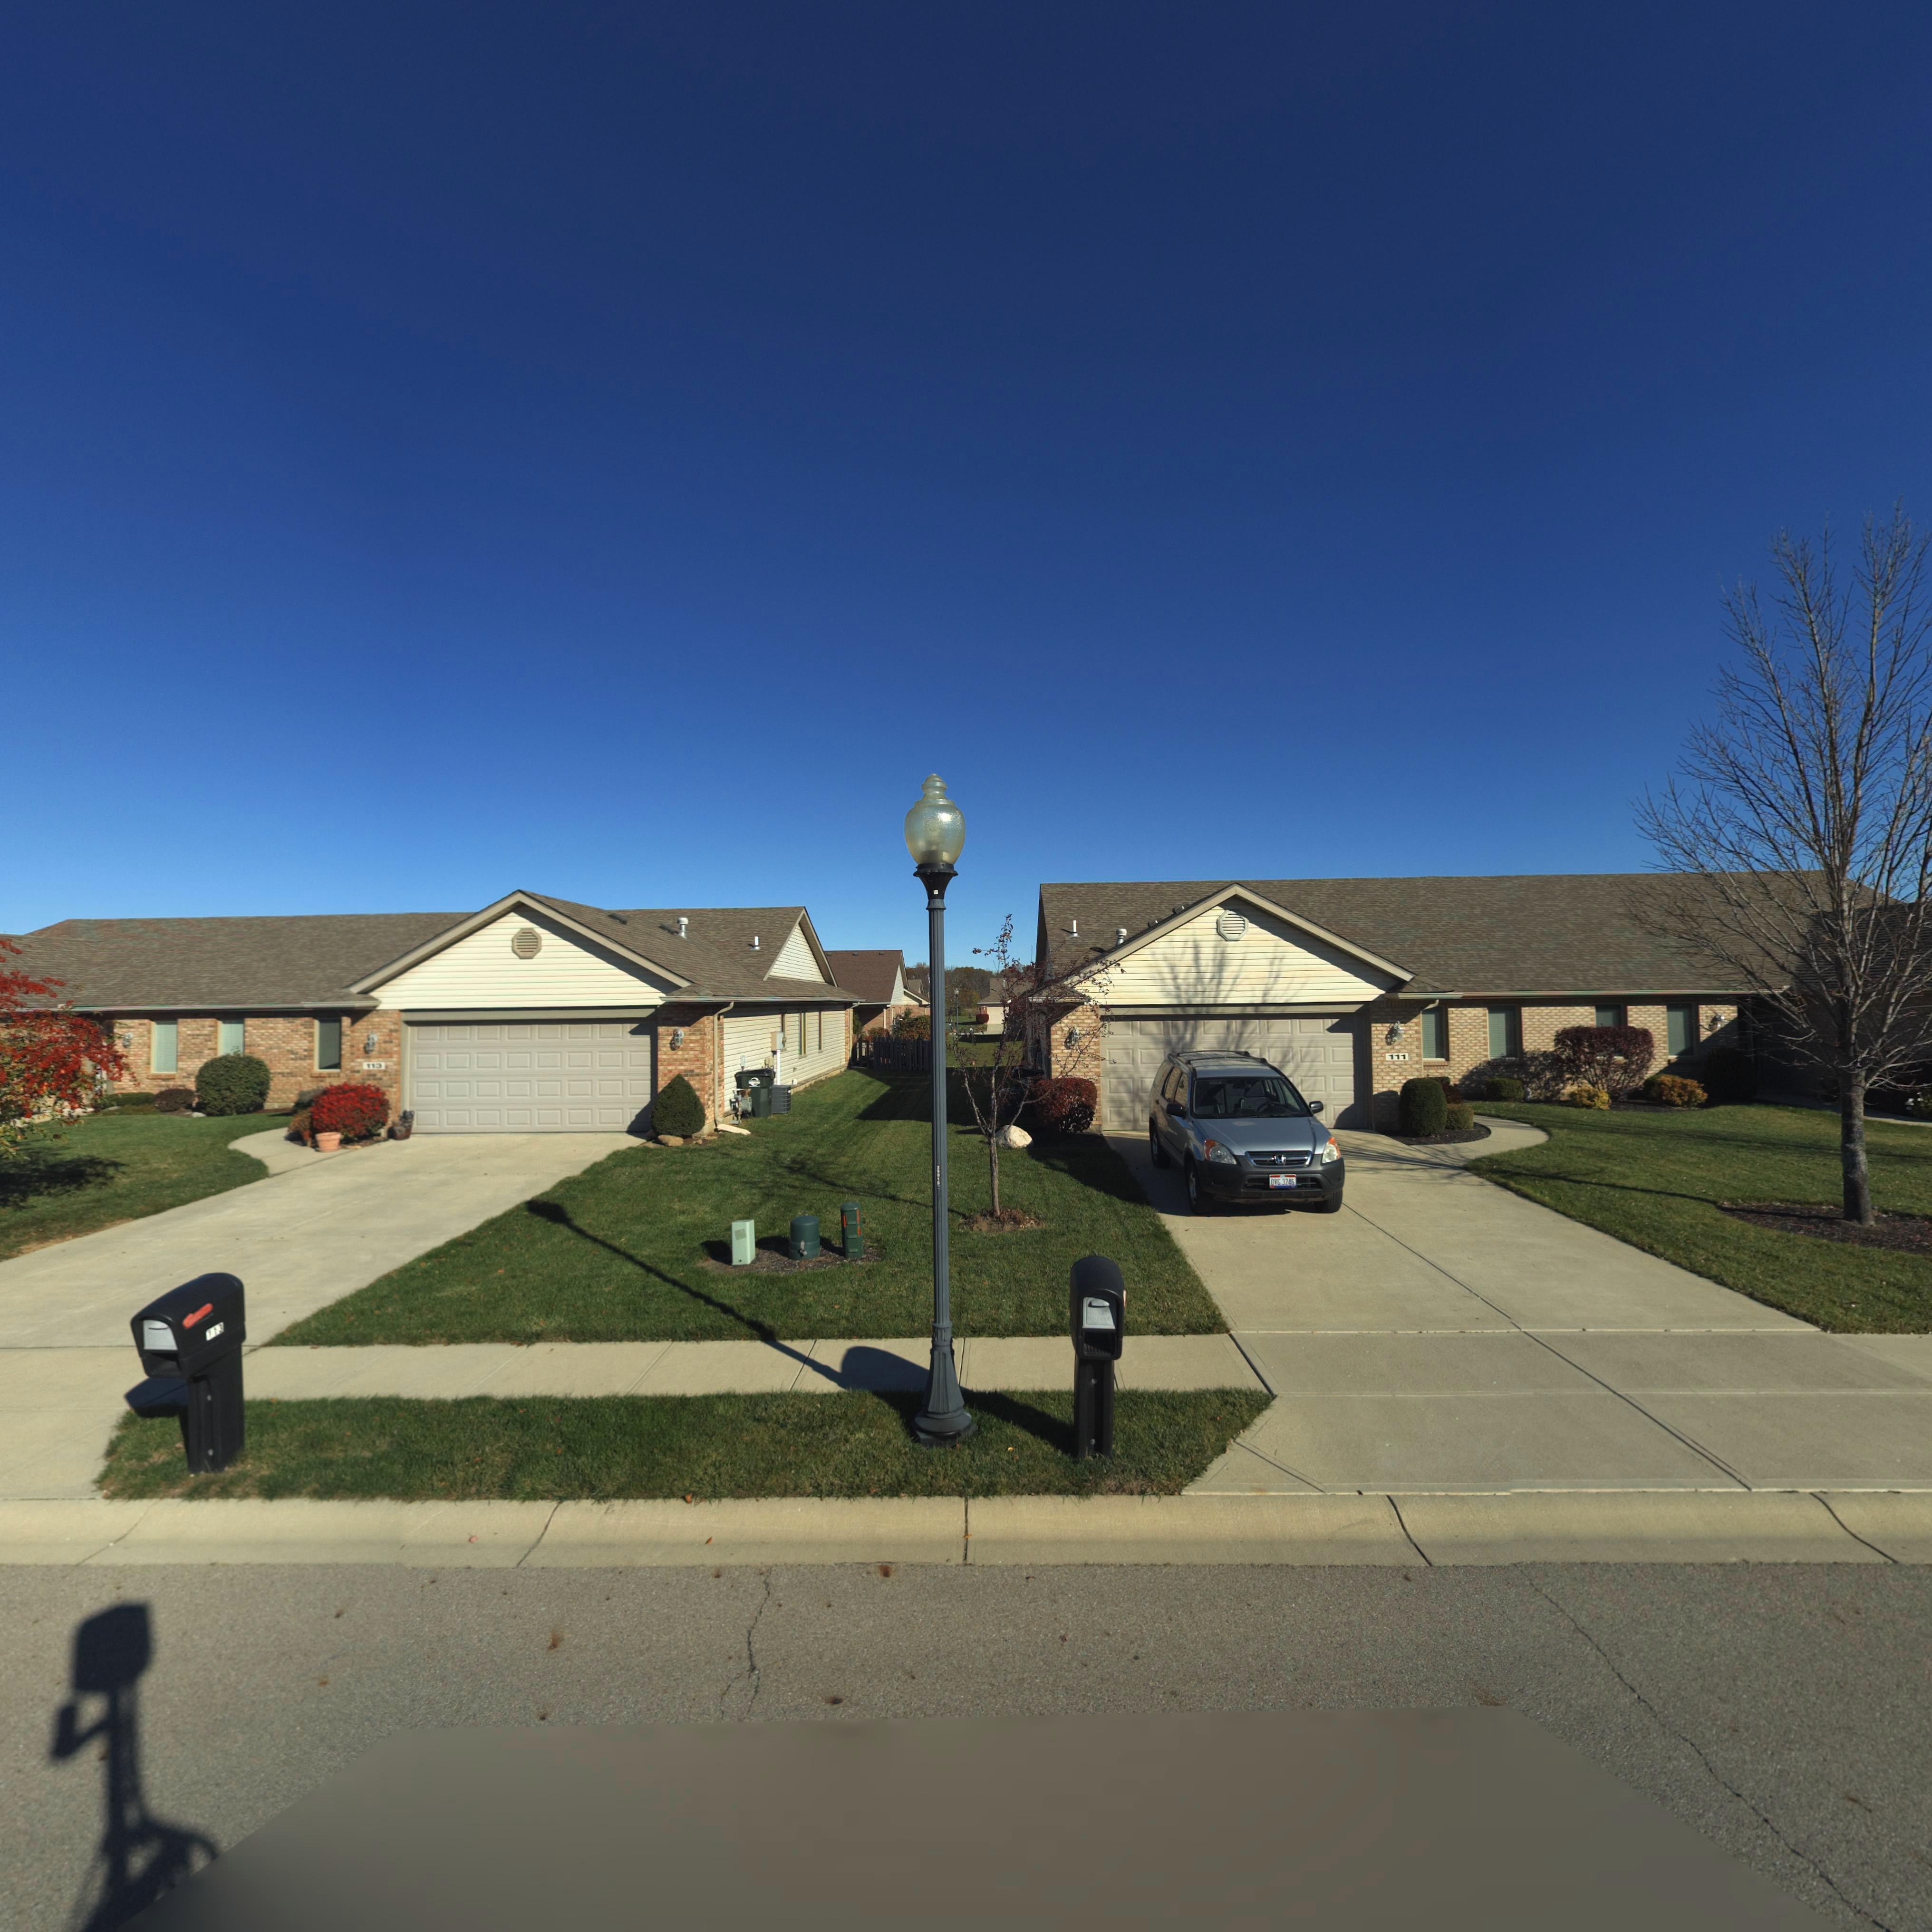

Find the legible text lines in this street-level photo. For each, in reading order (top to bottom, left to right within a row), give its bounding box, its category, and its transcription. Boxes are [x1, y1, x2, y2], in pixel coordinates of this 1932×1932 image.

[1388, 1053, 1407, 1060] StreetNumber: 111
[366, 1062, 383, 1069] StreetNumber: 113